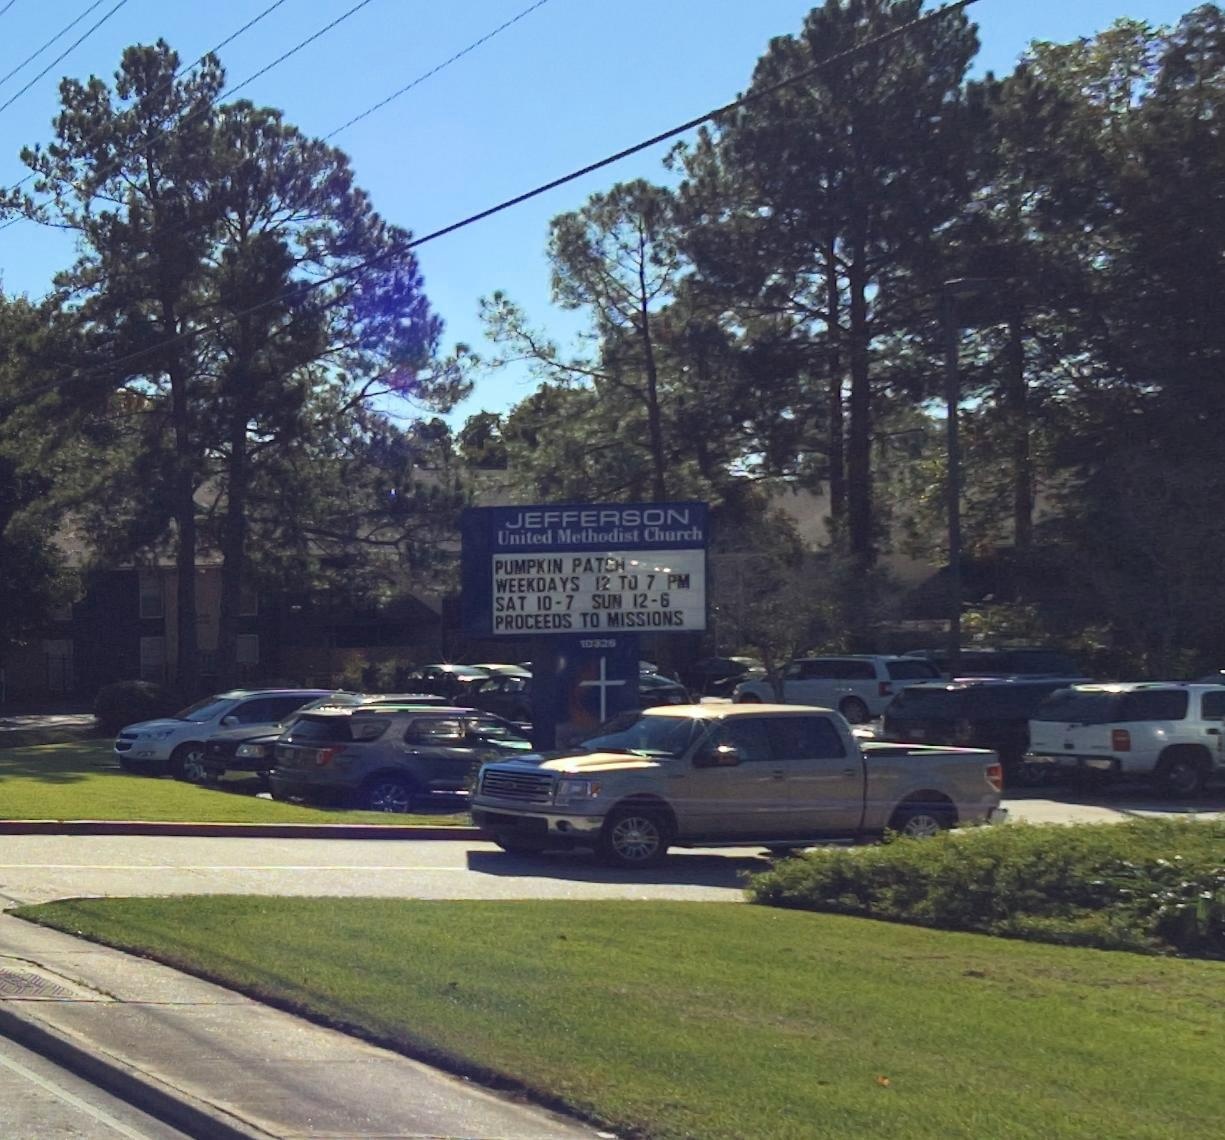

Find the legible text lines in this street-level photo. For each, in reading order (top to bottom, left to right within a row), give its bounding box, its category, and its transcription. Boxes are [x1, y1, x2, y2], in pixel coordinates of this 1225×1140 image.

[502, 505, 693, 531] BusinessName: JEFFERSON
[495, 524, 705, 548] BusinessName: United Methodist Church
[493, 553, 627, 578] None: PUMPKIN PATCH
[490, 570, 693, 596] None: WEEKDAYS 12 TO 7 PM
[492, 590, 672, 615] None: SAT 10-7 SUN 12-6
[493, 608, 686, 633] None: PROCEEDS TO MISSIONS
[576, 636, 618, 651] StreetNumber: 10320